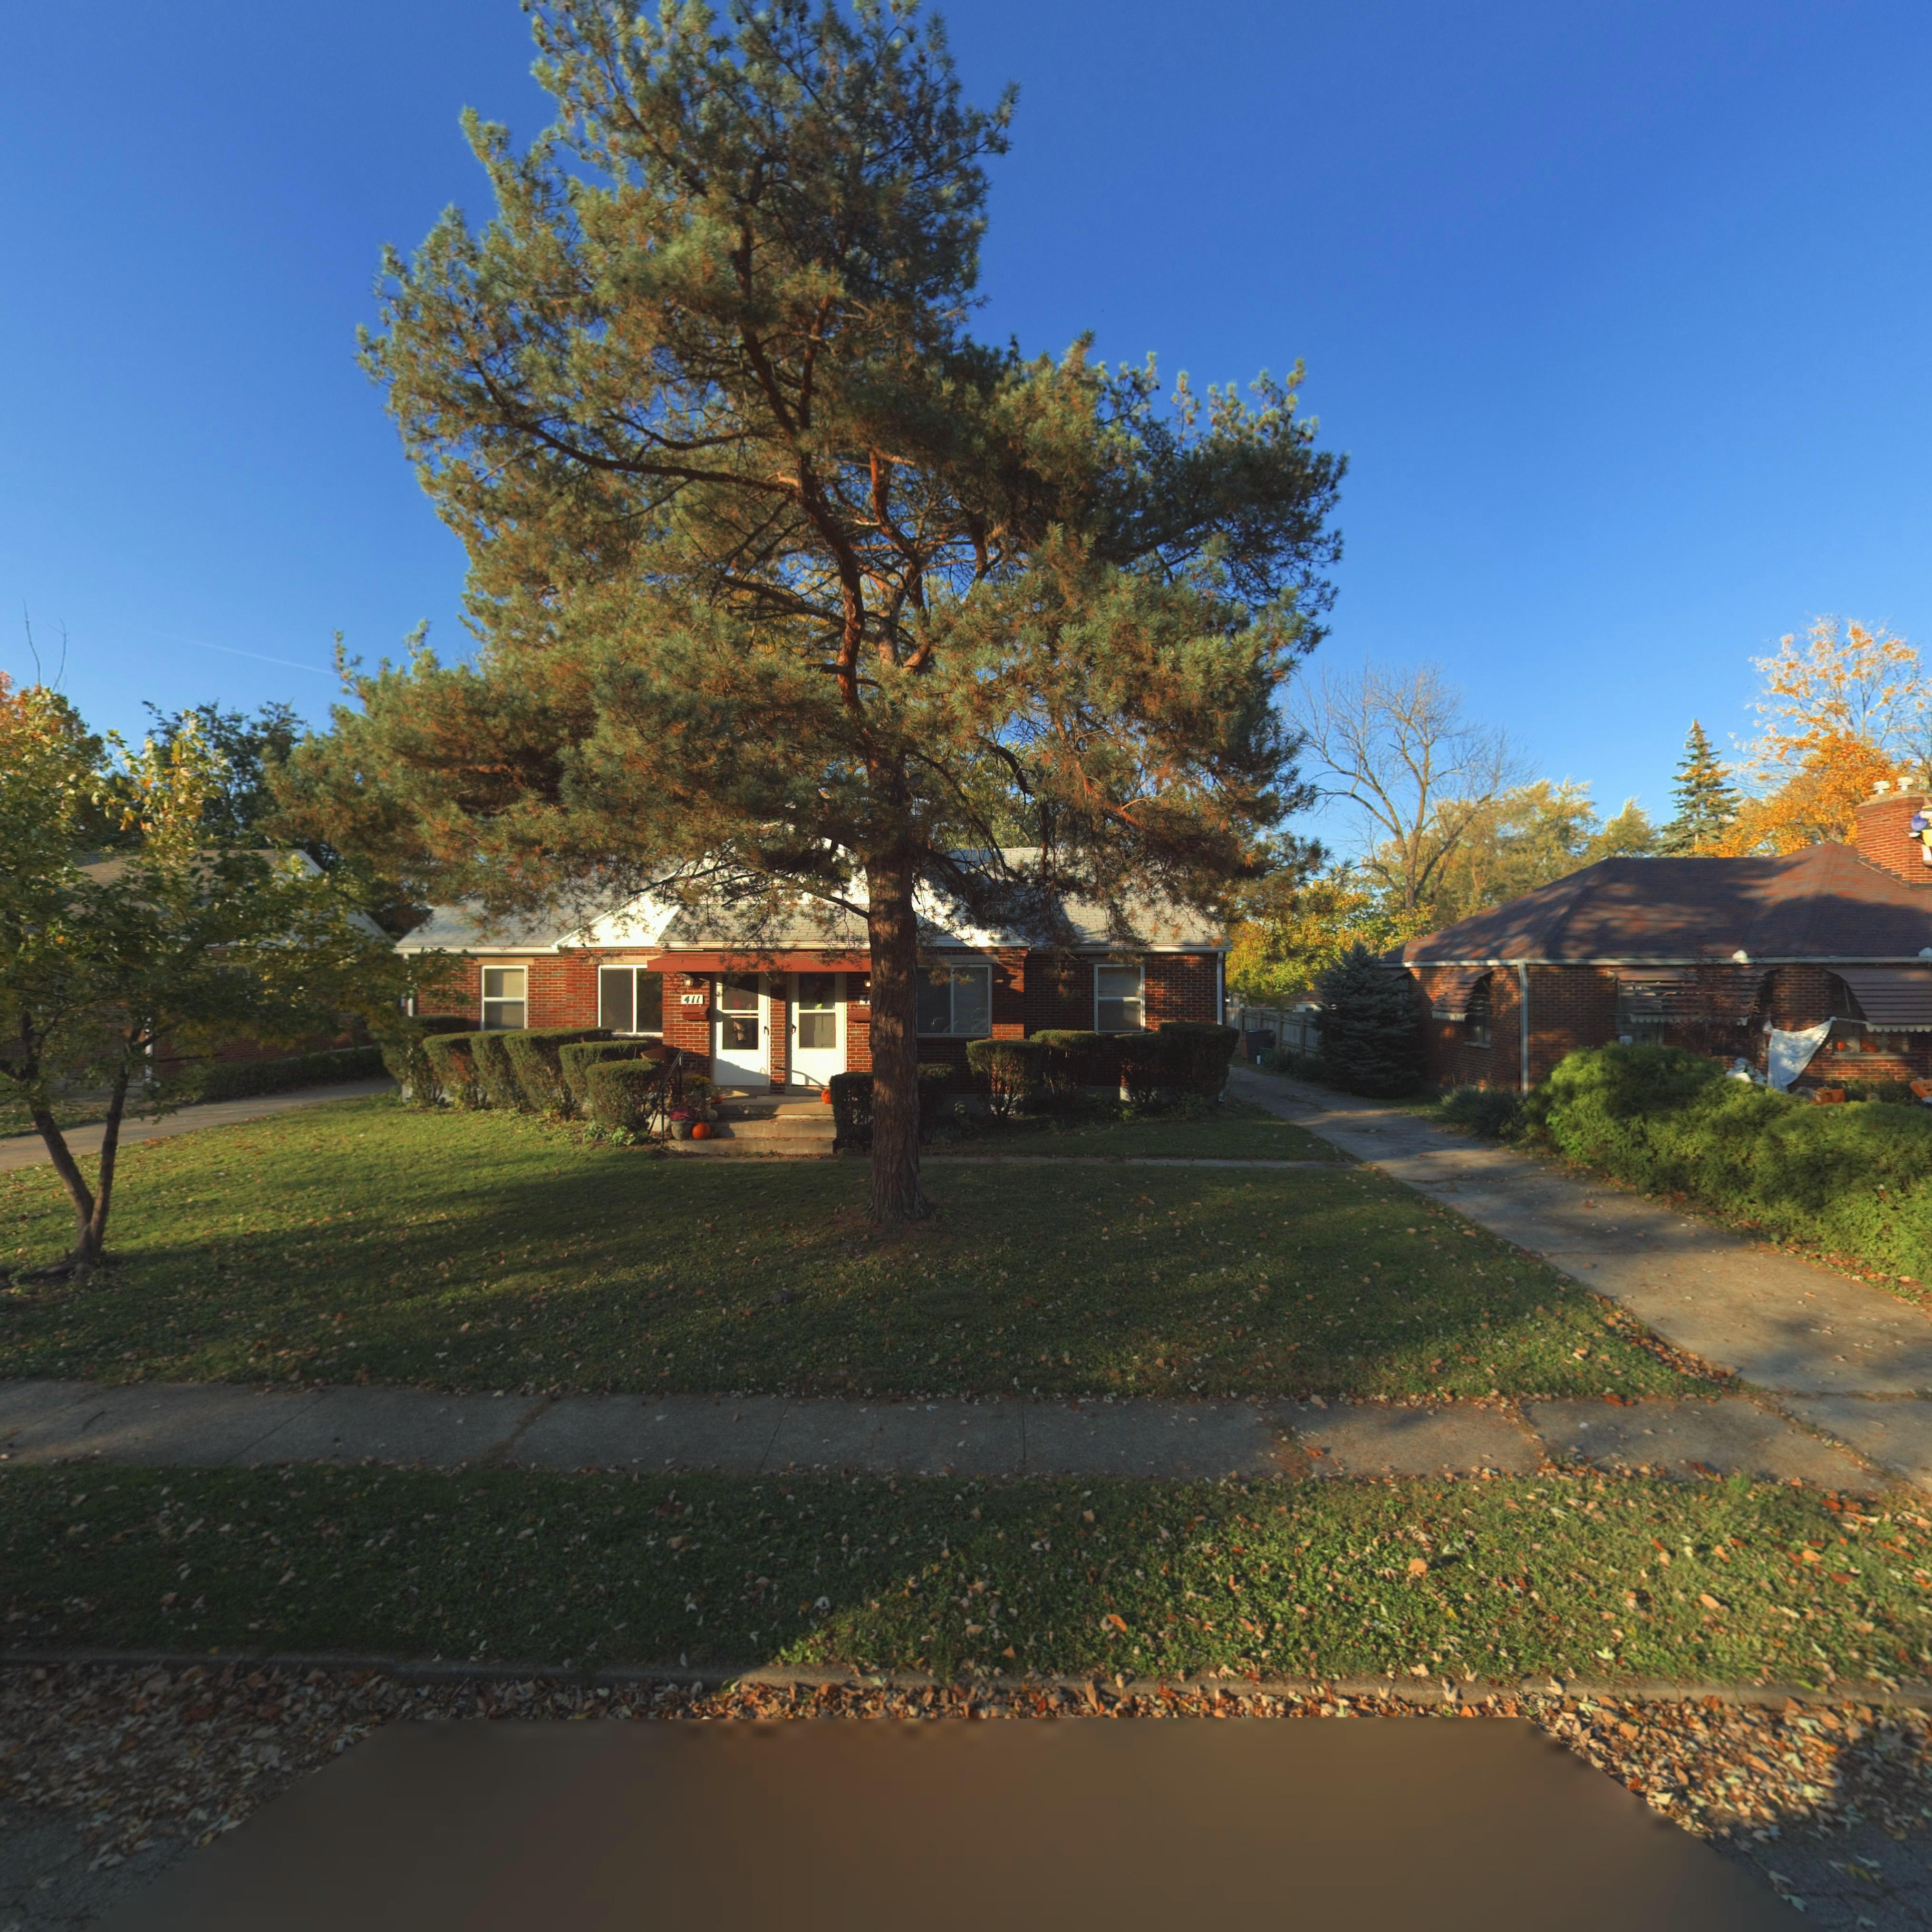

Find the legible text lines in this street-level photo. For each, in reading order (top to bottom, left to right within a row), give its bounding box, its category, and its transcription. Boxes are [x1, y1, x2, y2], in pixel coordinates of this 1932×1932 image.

[683, 995, 701, 1005] StreetNumber: 411
[862, 995, 869, 1005] StreetNumber: 4